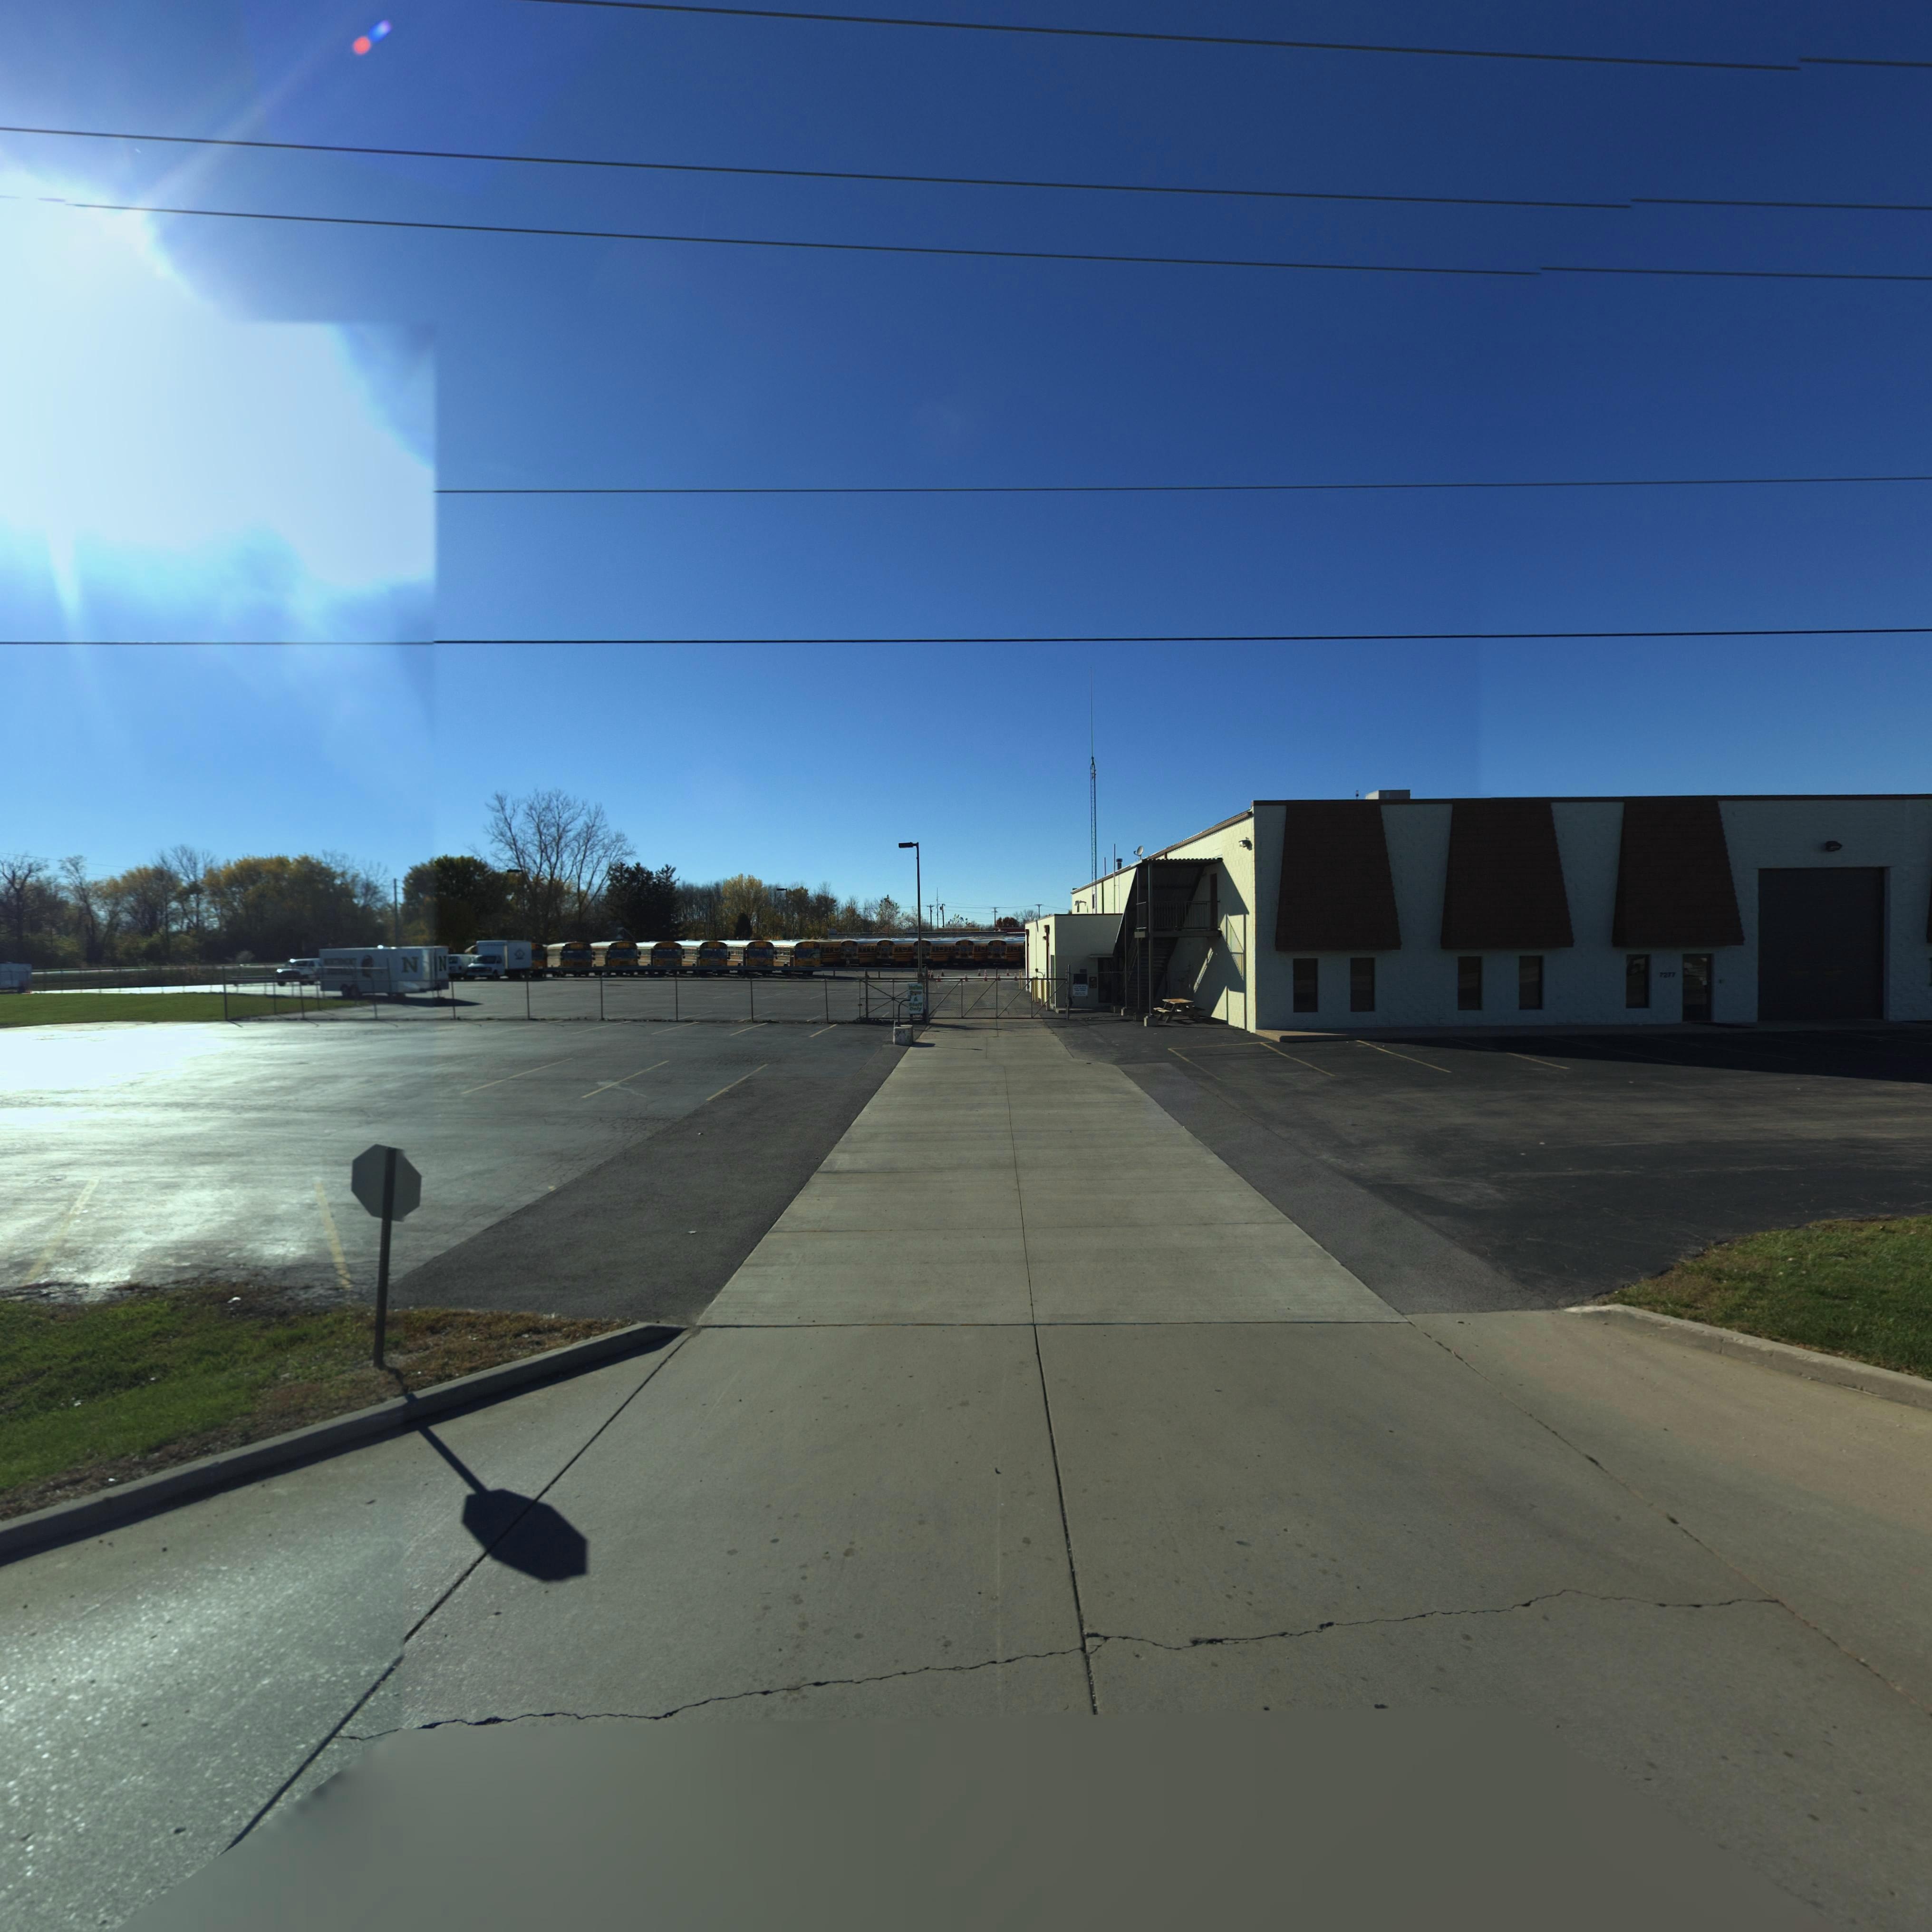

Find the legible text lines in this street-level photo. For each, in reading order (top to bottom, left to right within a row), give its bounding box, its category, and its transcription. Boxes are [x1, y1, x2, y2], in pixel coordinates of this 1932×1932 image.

[1659, 972, 1676, 977] StreetNumber: 7277